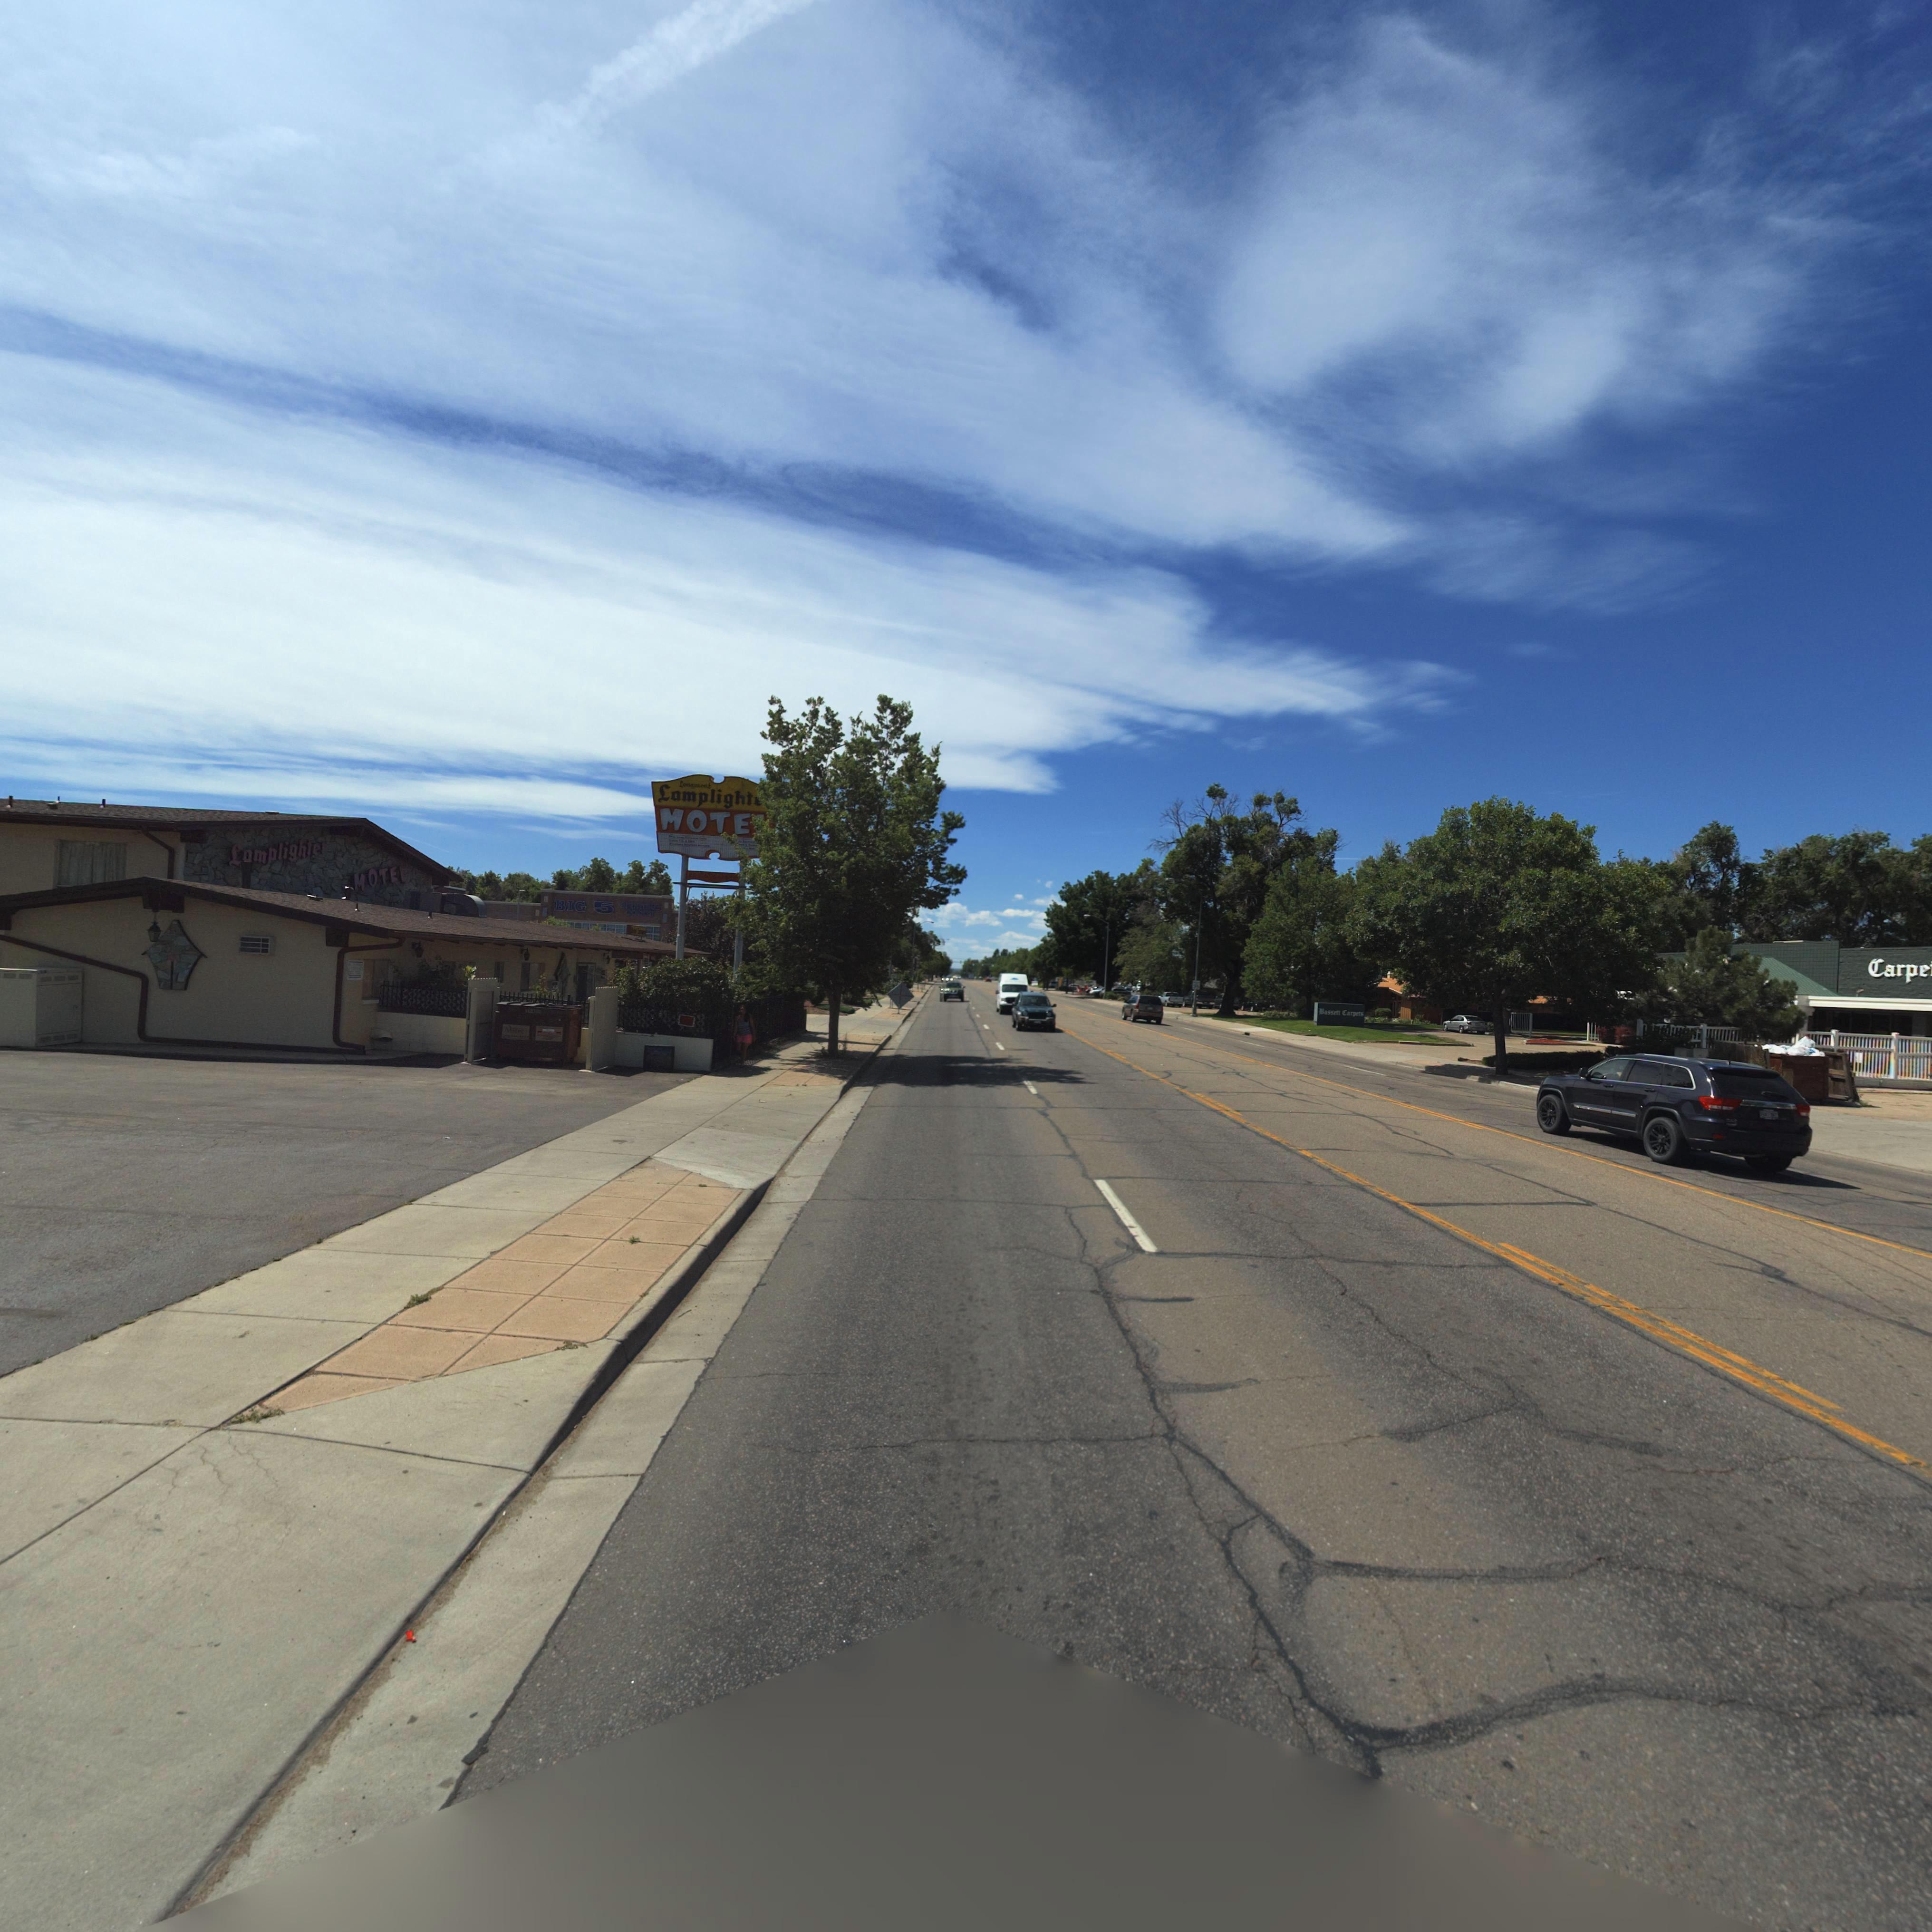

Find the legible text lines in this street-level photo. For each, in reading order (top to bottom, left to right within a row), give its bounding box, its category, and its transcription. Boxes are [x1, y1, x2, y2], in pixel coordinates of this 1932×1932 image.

[678, 780, 712, 789] BusinessName: Longmont
[656, 783, 754, 809] BusinessName: Lamplight
[659, 807, 752, 835] BusinessName: MOTE
[228, 837, 328, 868] BusinessName: Lamplighter
[353, 864, 408, 892] BusinessName: MOTEL
[552, 898, 615, 916] BusinessName: BIG 5
[624, 908, 652, 917] BusinessName: GOO*S
[621, 901, 661, 910] BusinessName: *P****NG
[1866, 956, 1932, 985] BusinessName: Carpe
[1318, 1007, 1364, 1017] BusinessName: Bassett Carpets